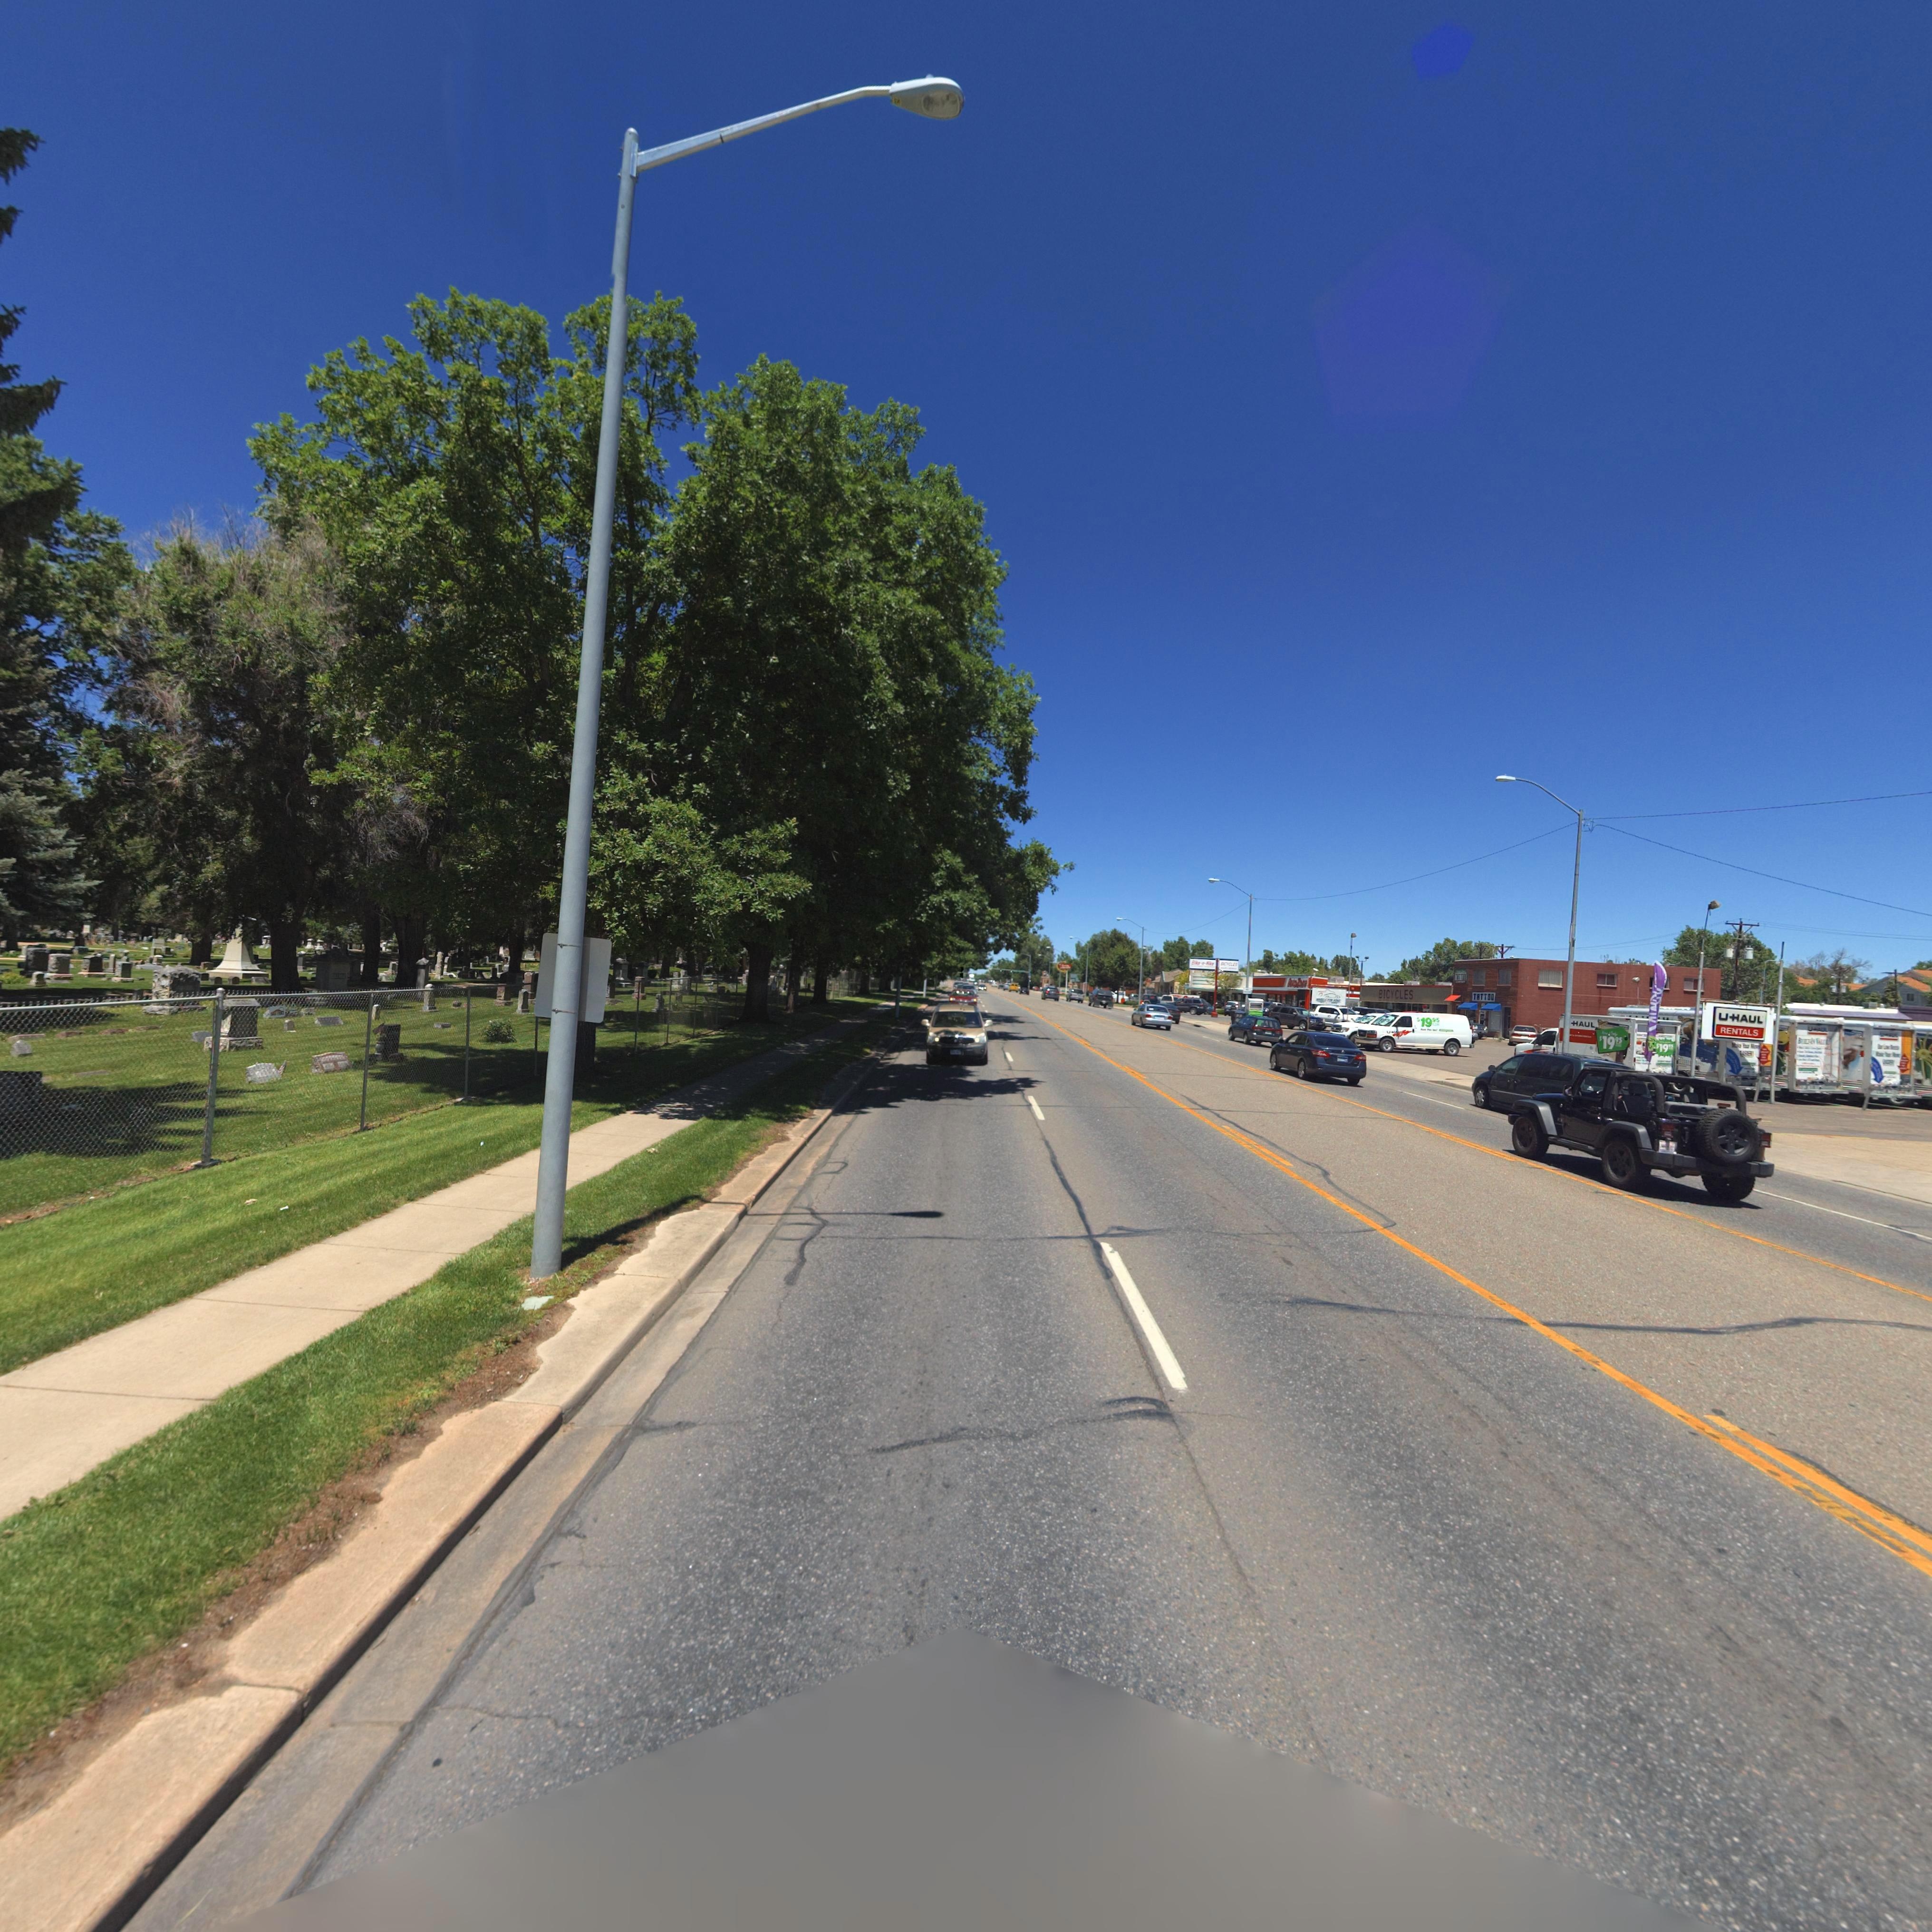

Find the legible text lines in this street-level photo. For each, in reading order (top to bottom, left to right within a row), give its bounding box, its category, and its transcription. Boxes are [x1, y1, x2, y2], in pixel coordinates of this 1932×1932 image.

[1191, 959, 1214, 966] BusinessName: Bike * * * ****
[1286, 977, 1307, 988] BusinessName: AutoZone